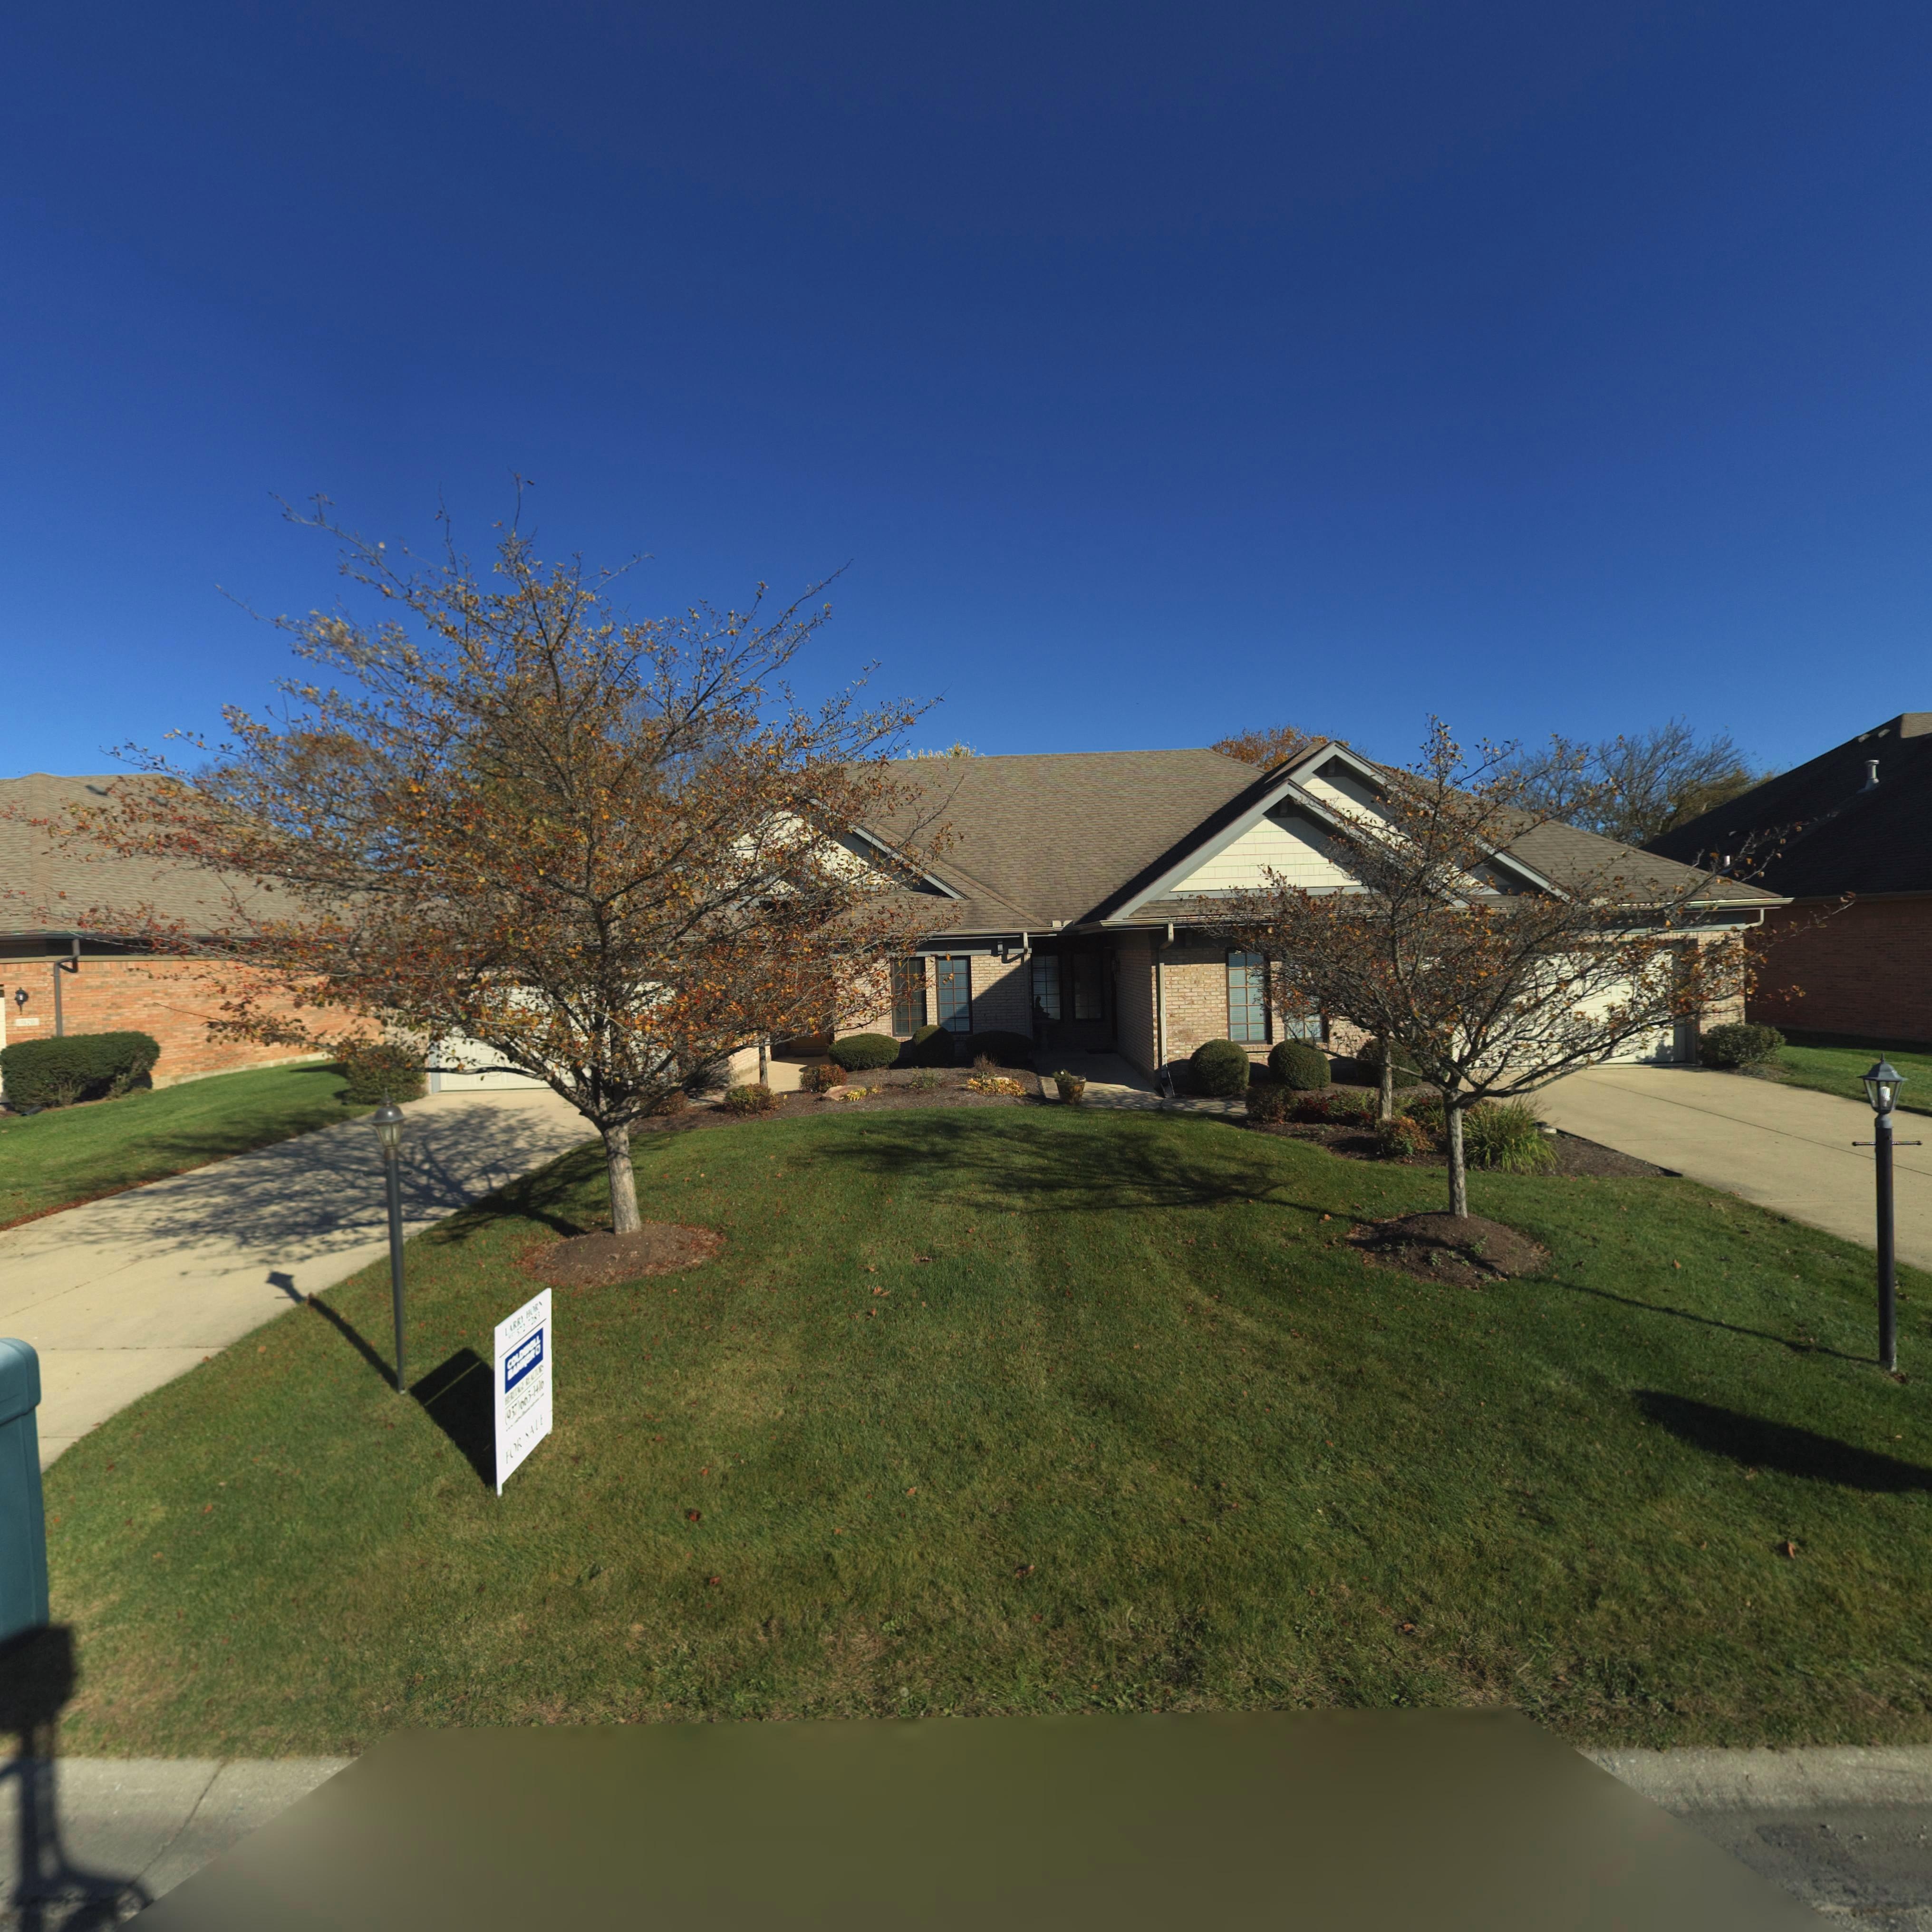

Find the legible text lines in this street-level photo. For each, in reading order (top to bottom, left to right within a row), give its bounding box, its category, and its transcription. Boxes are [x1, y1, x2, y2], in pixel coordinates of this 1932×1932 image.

[26, 1019, 36, 1025] StreetNumber: 20